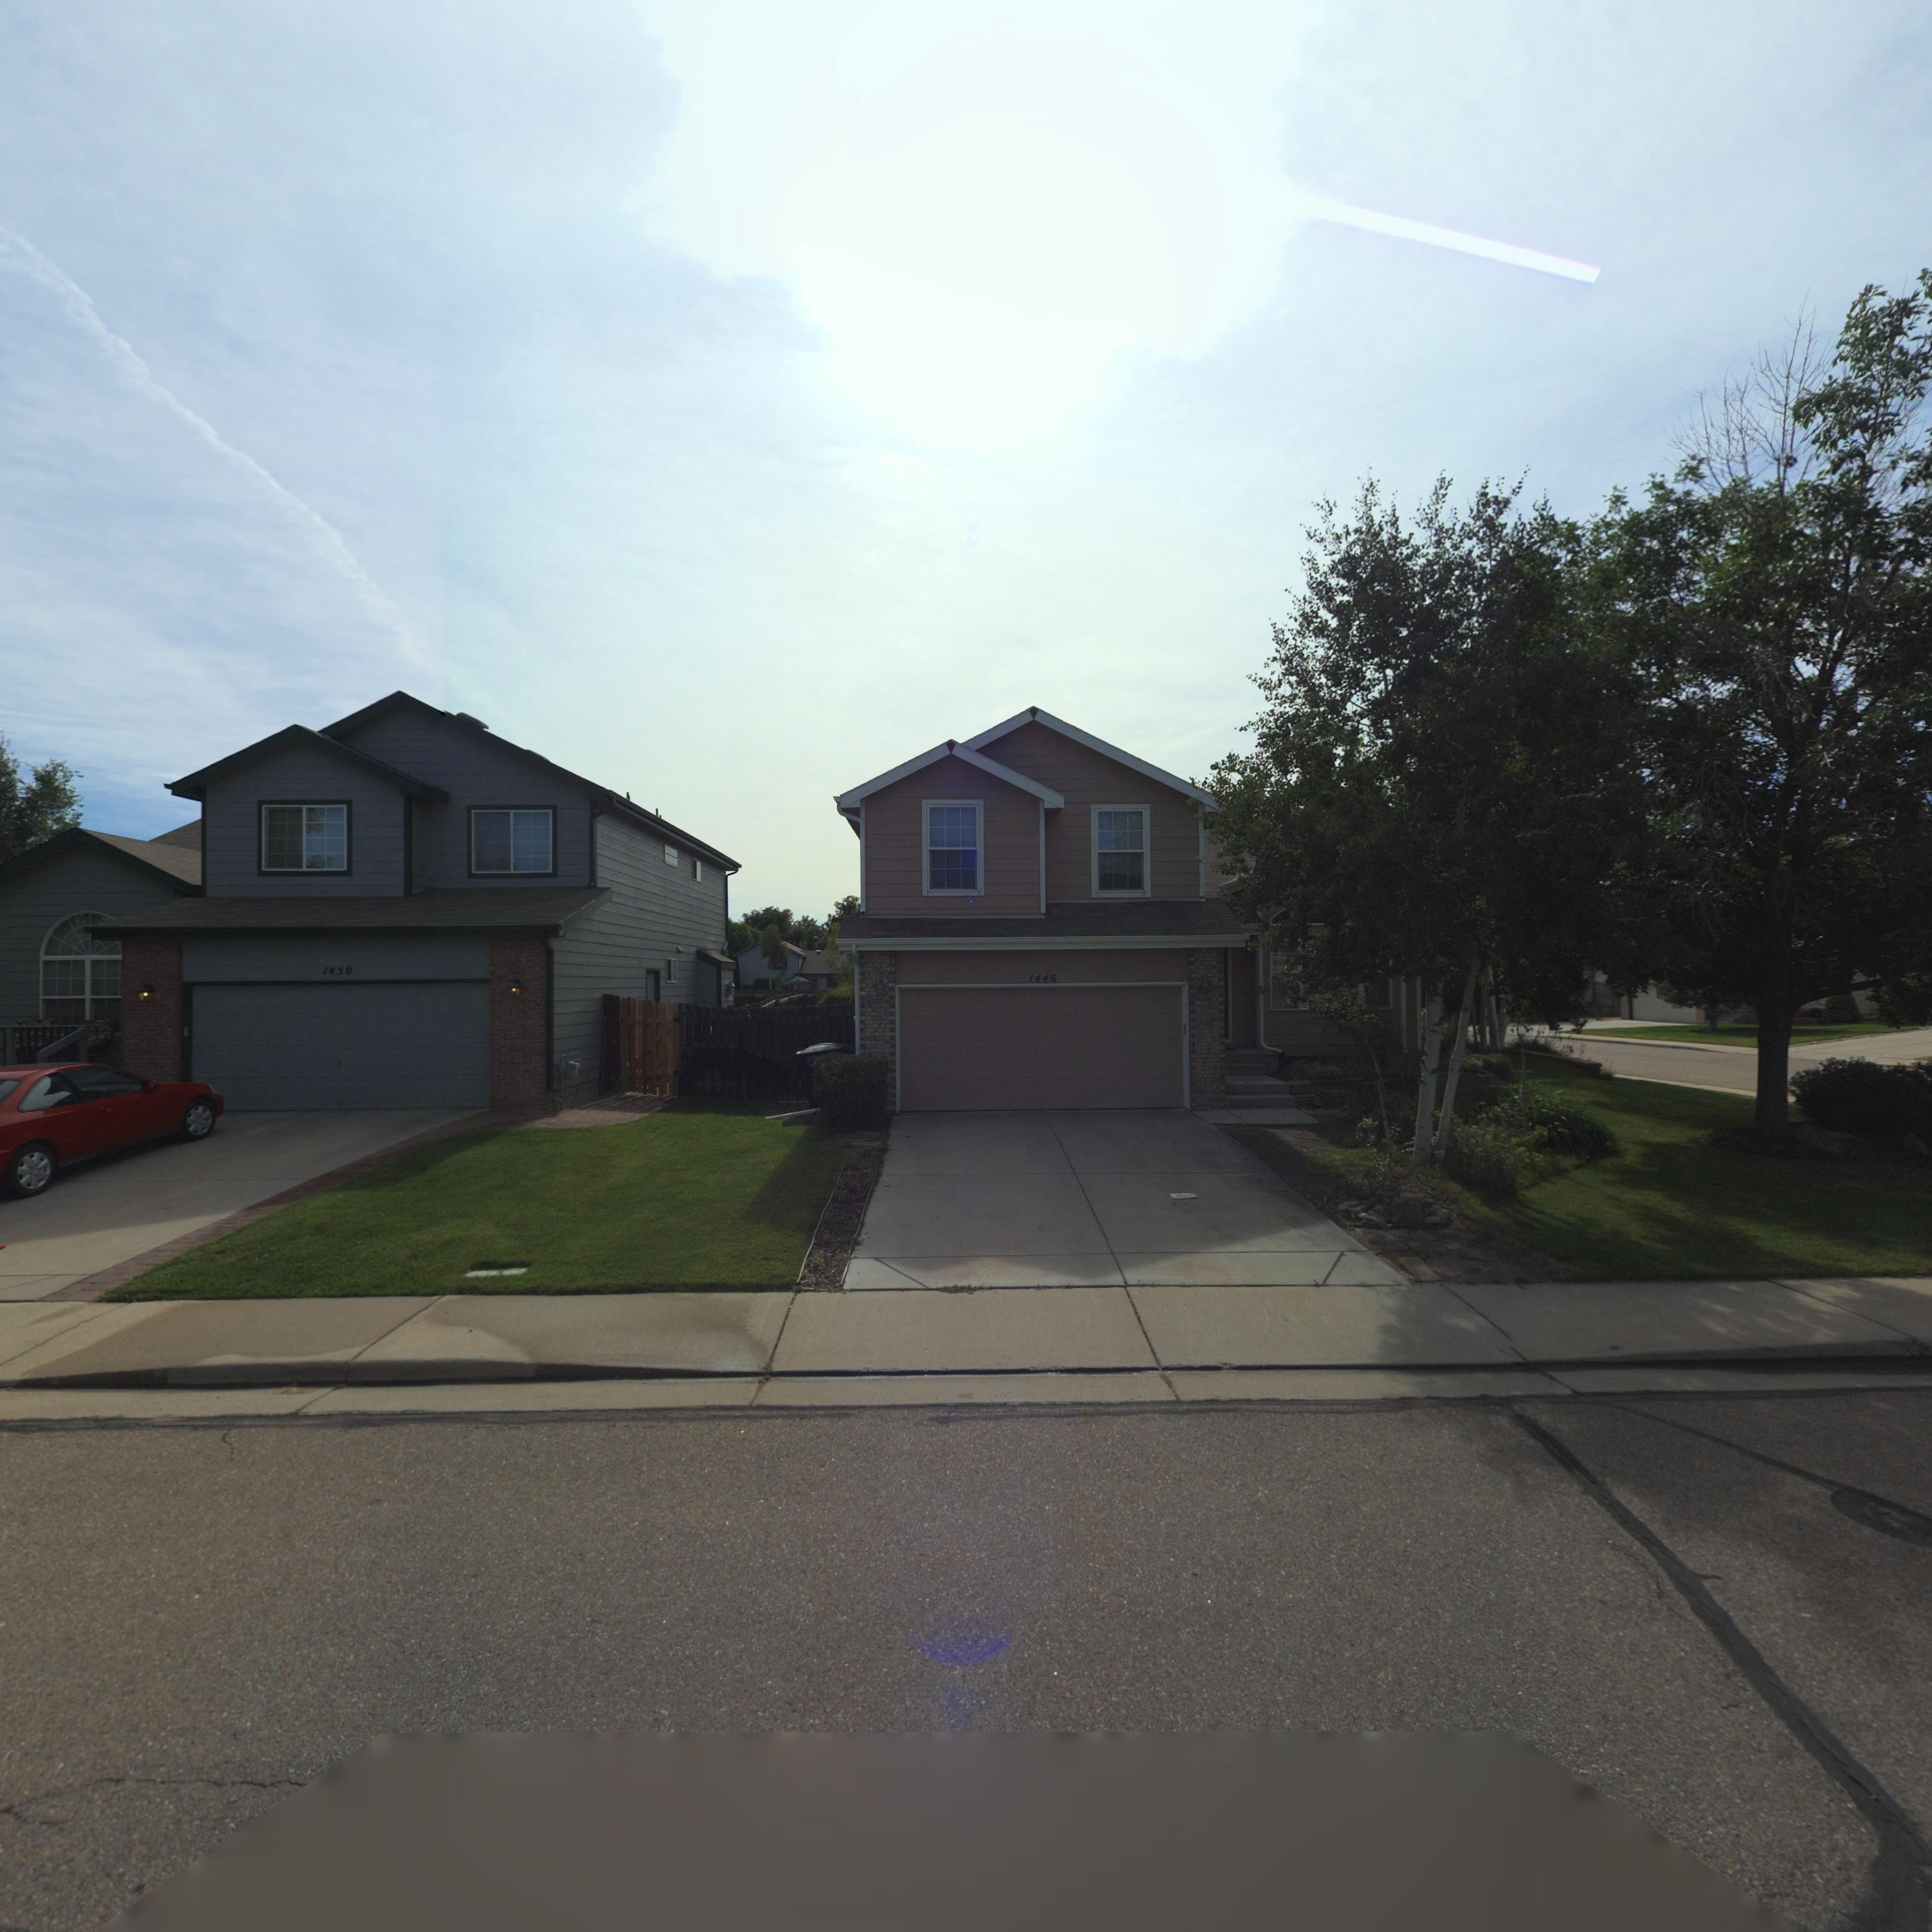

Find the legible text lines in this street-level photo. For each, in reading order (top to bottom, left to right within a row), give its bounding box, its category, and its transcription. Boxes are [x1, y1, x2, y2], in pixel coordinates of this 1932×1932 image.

[322, 966, 352, 976] StreetNumber: 1450
[1028, 973, 1056, 983] StreetNumber: 1446